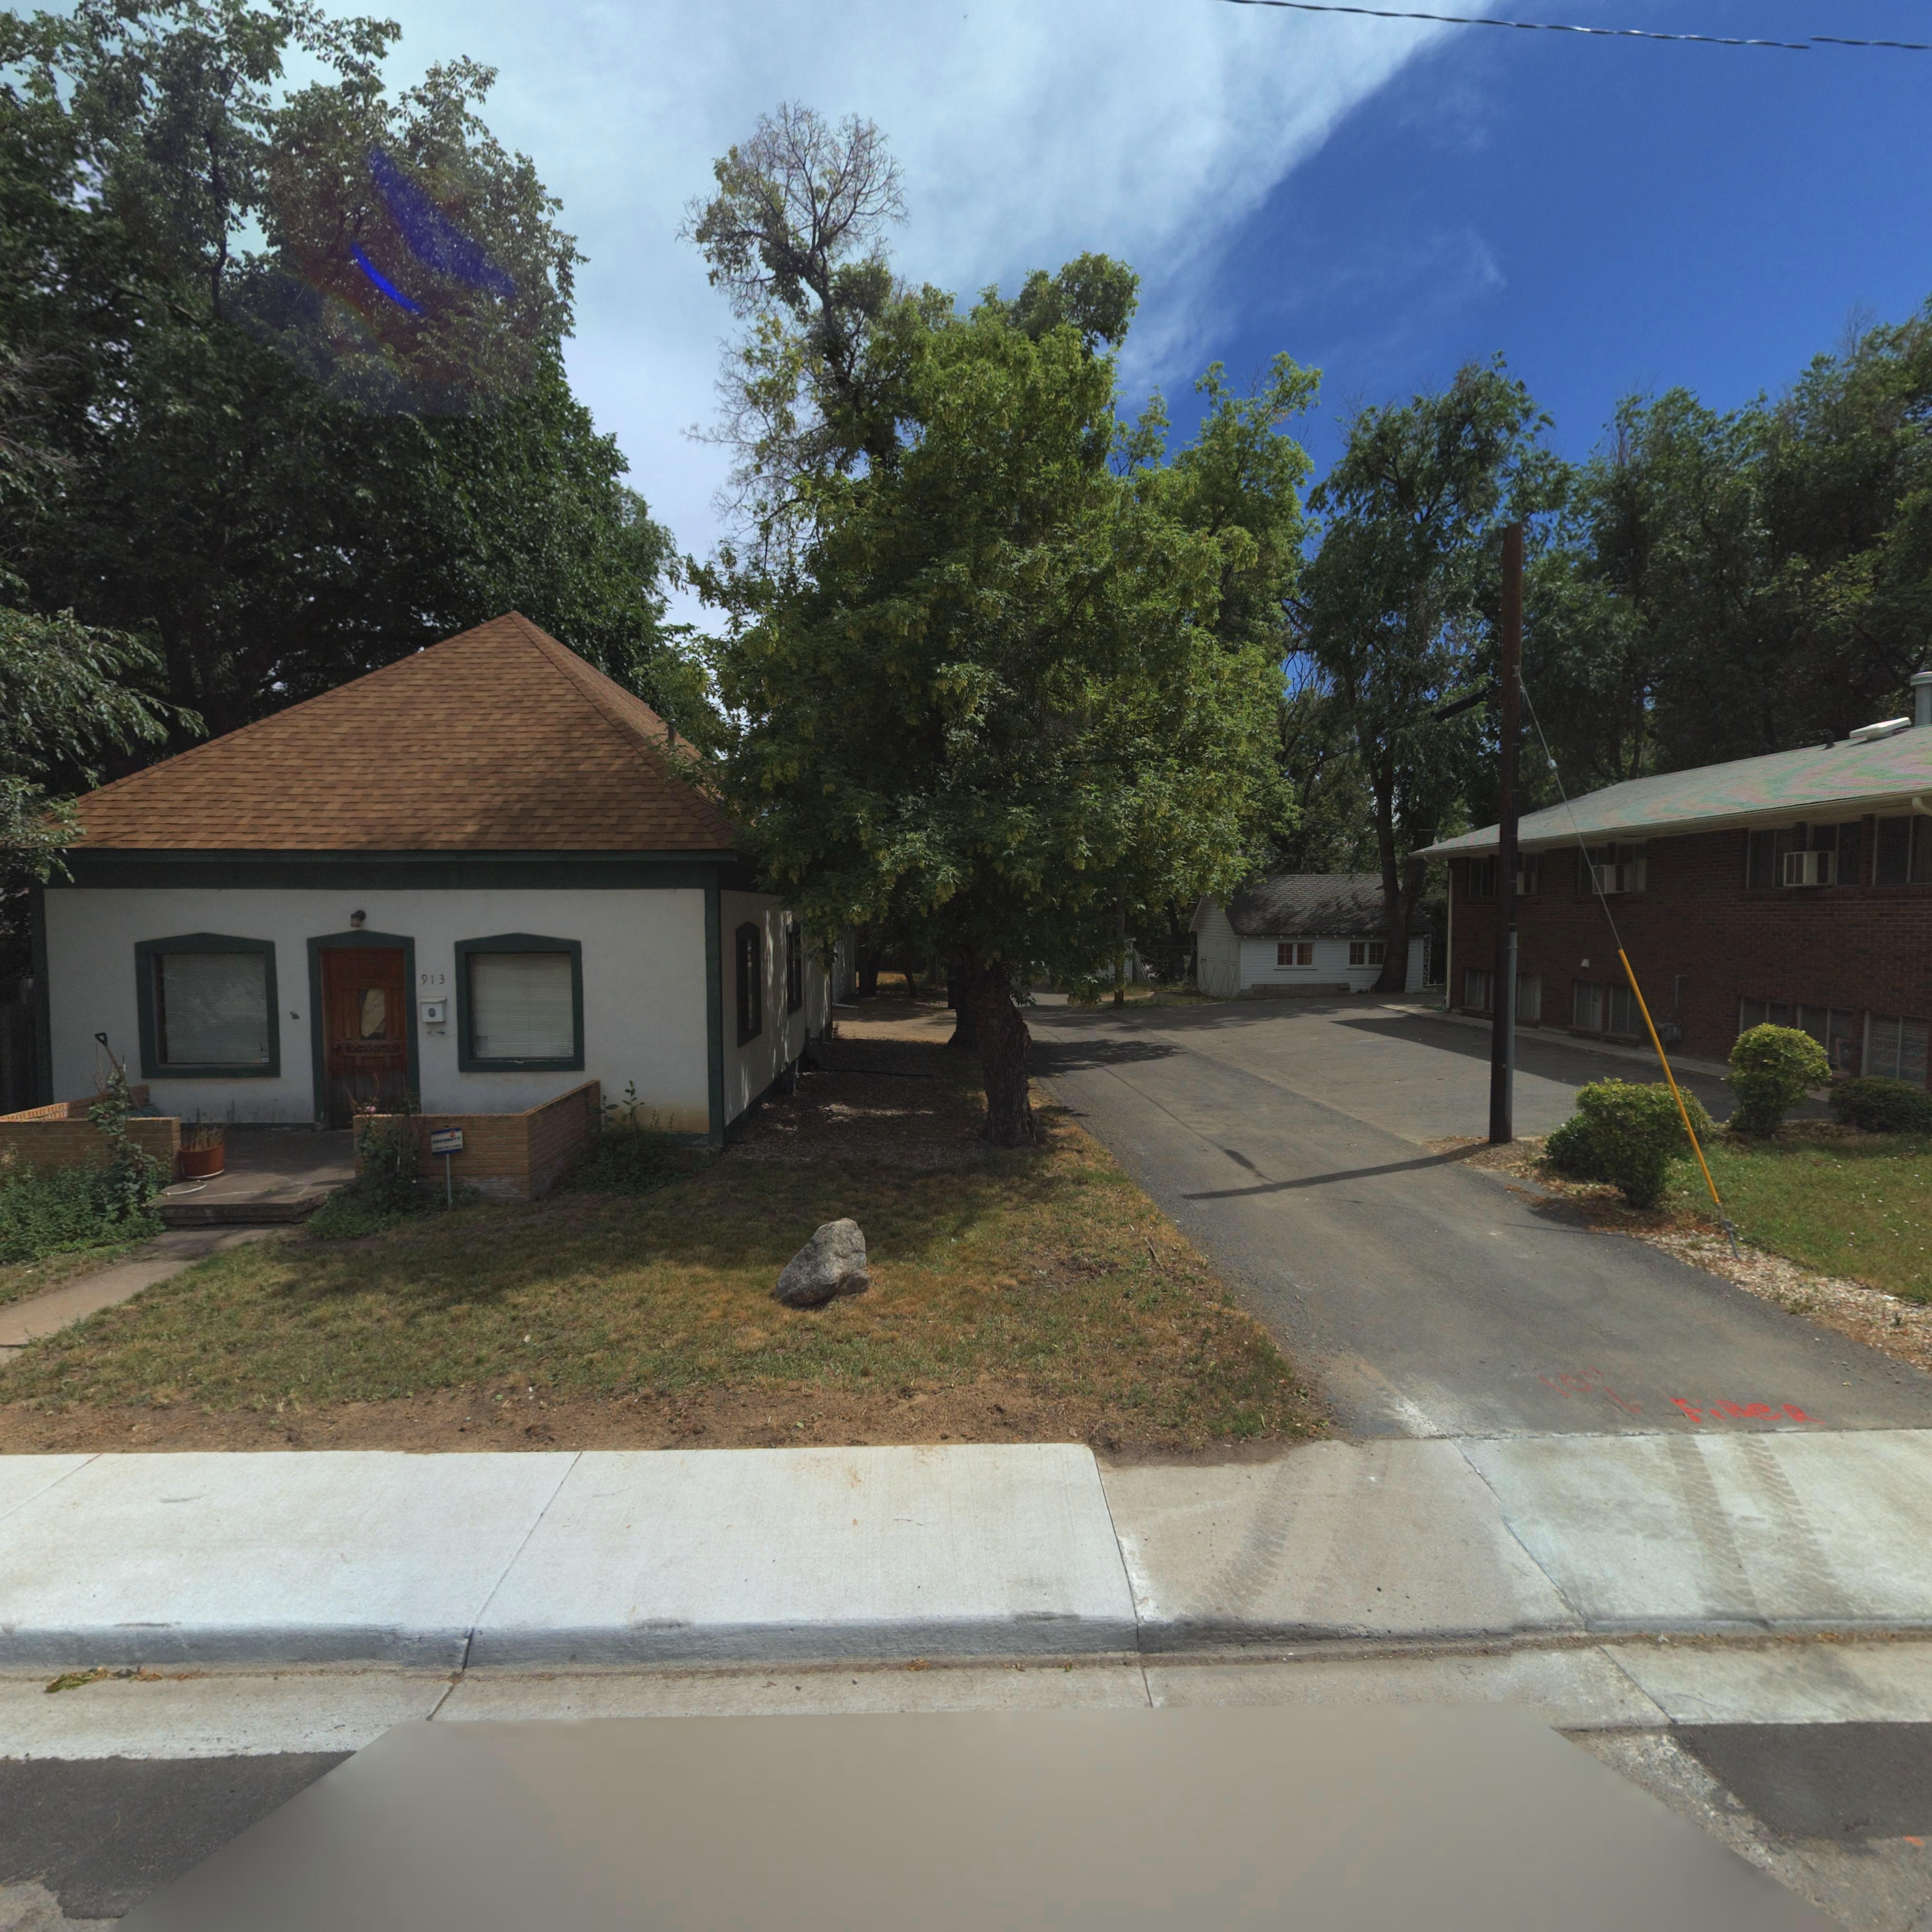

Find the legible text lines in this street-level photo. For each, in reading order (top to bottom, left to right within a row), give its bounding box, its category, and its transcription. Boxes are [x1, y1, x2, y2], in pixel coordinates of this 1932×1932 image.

[420, 973, 445, 985] StreetNumber: 913